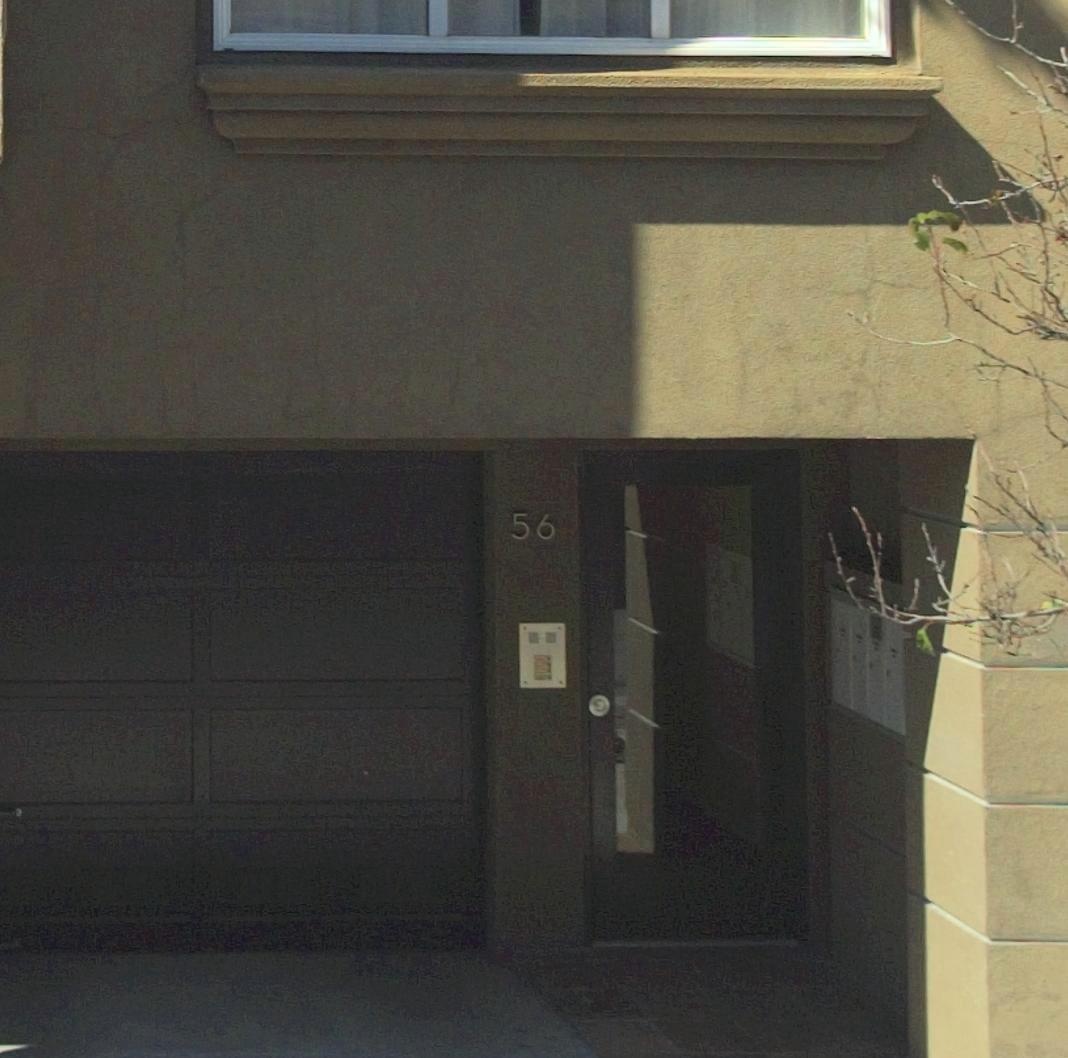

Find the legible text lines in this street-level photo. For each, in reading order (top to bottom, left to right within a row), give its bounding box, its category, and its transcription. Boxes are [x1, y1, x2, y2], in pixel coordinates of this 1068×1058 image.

[507, 507, 559, 546] StreetNumber: 56